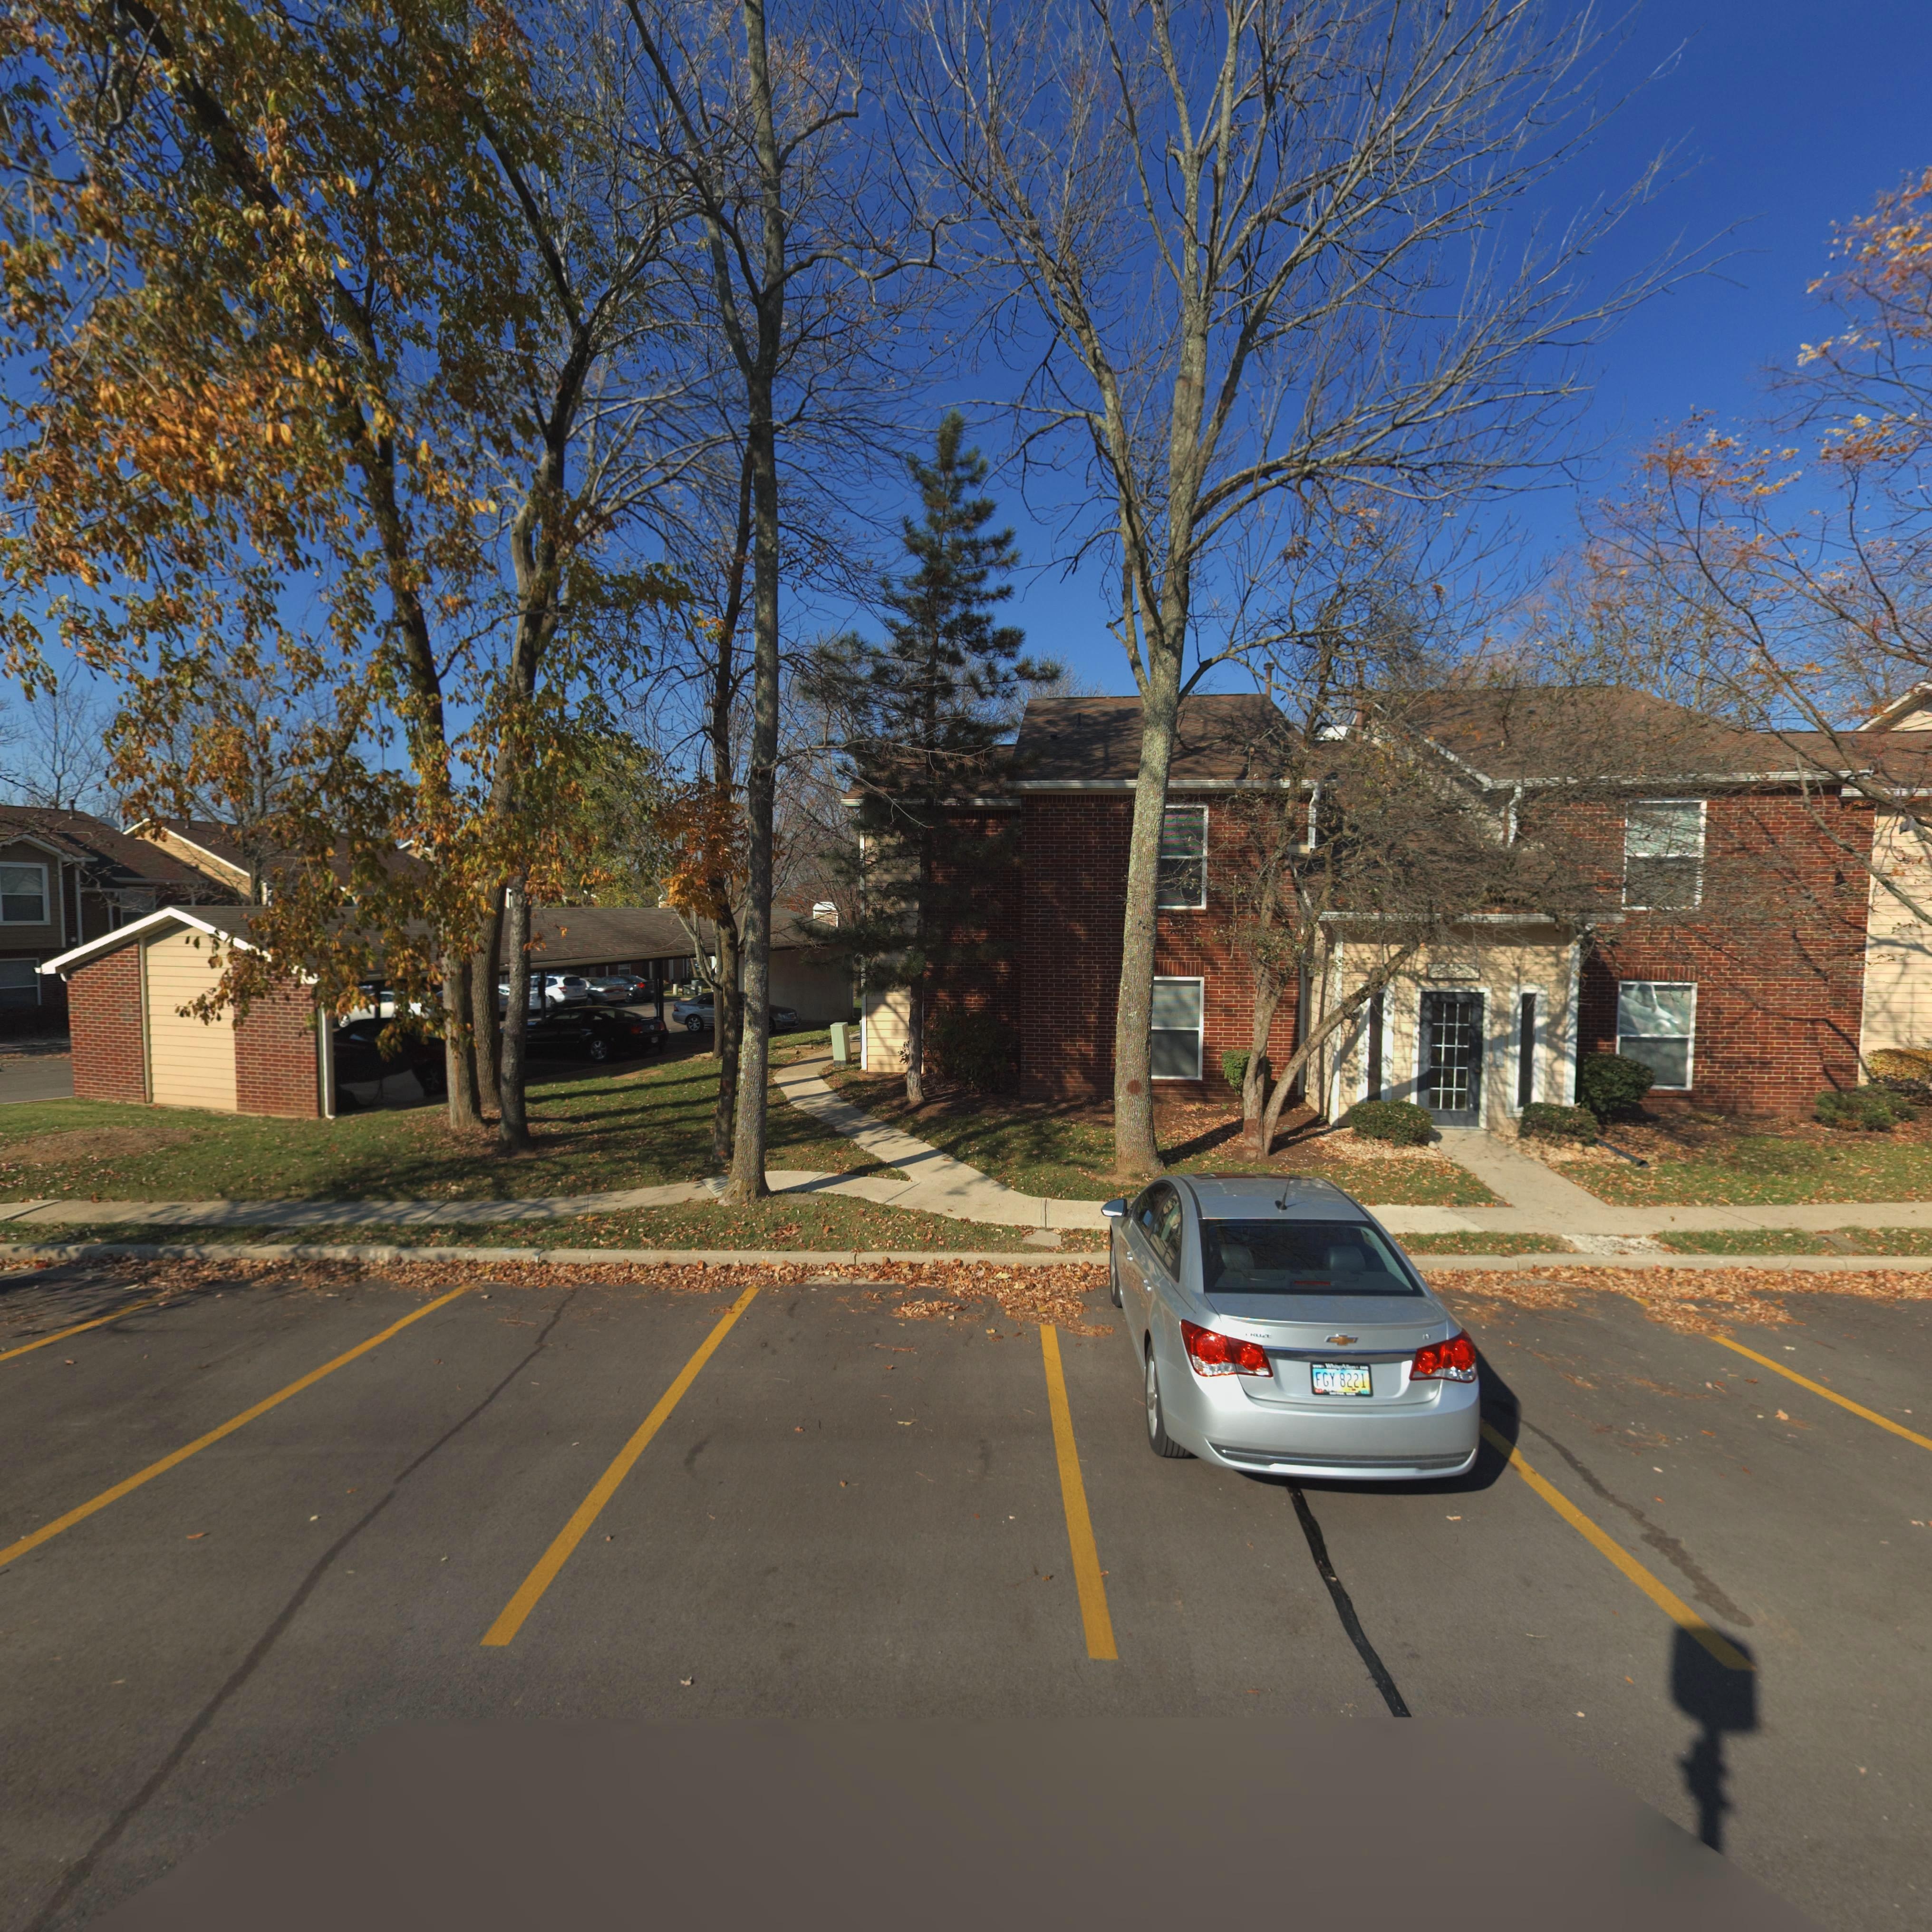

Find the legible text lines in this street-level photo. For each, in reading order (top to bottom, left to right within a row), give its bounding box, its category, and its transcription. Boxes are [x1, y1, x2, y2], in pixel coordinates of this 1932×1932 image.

[1314, 1370, 1367, 1390] None: FGY 8221